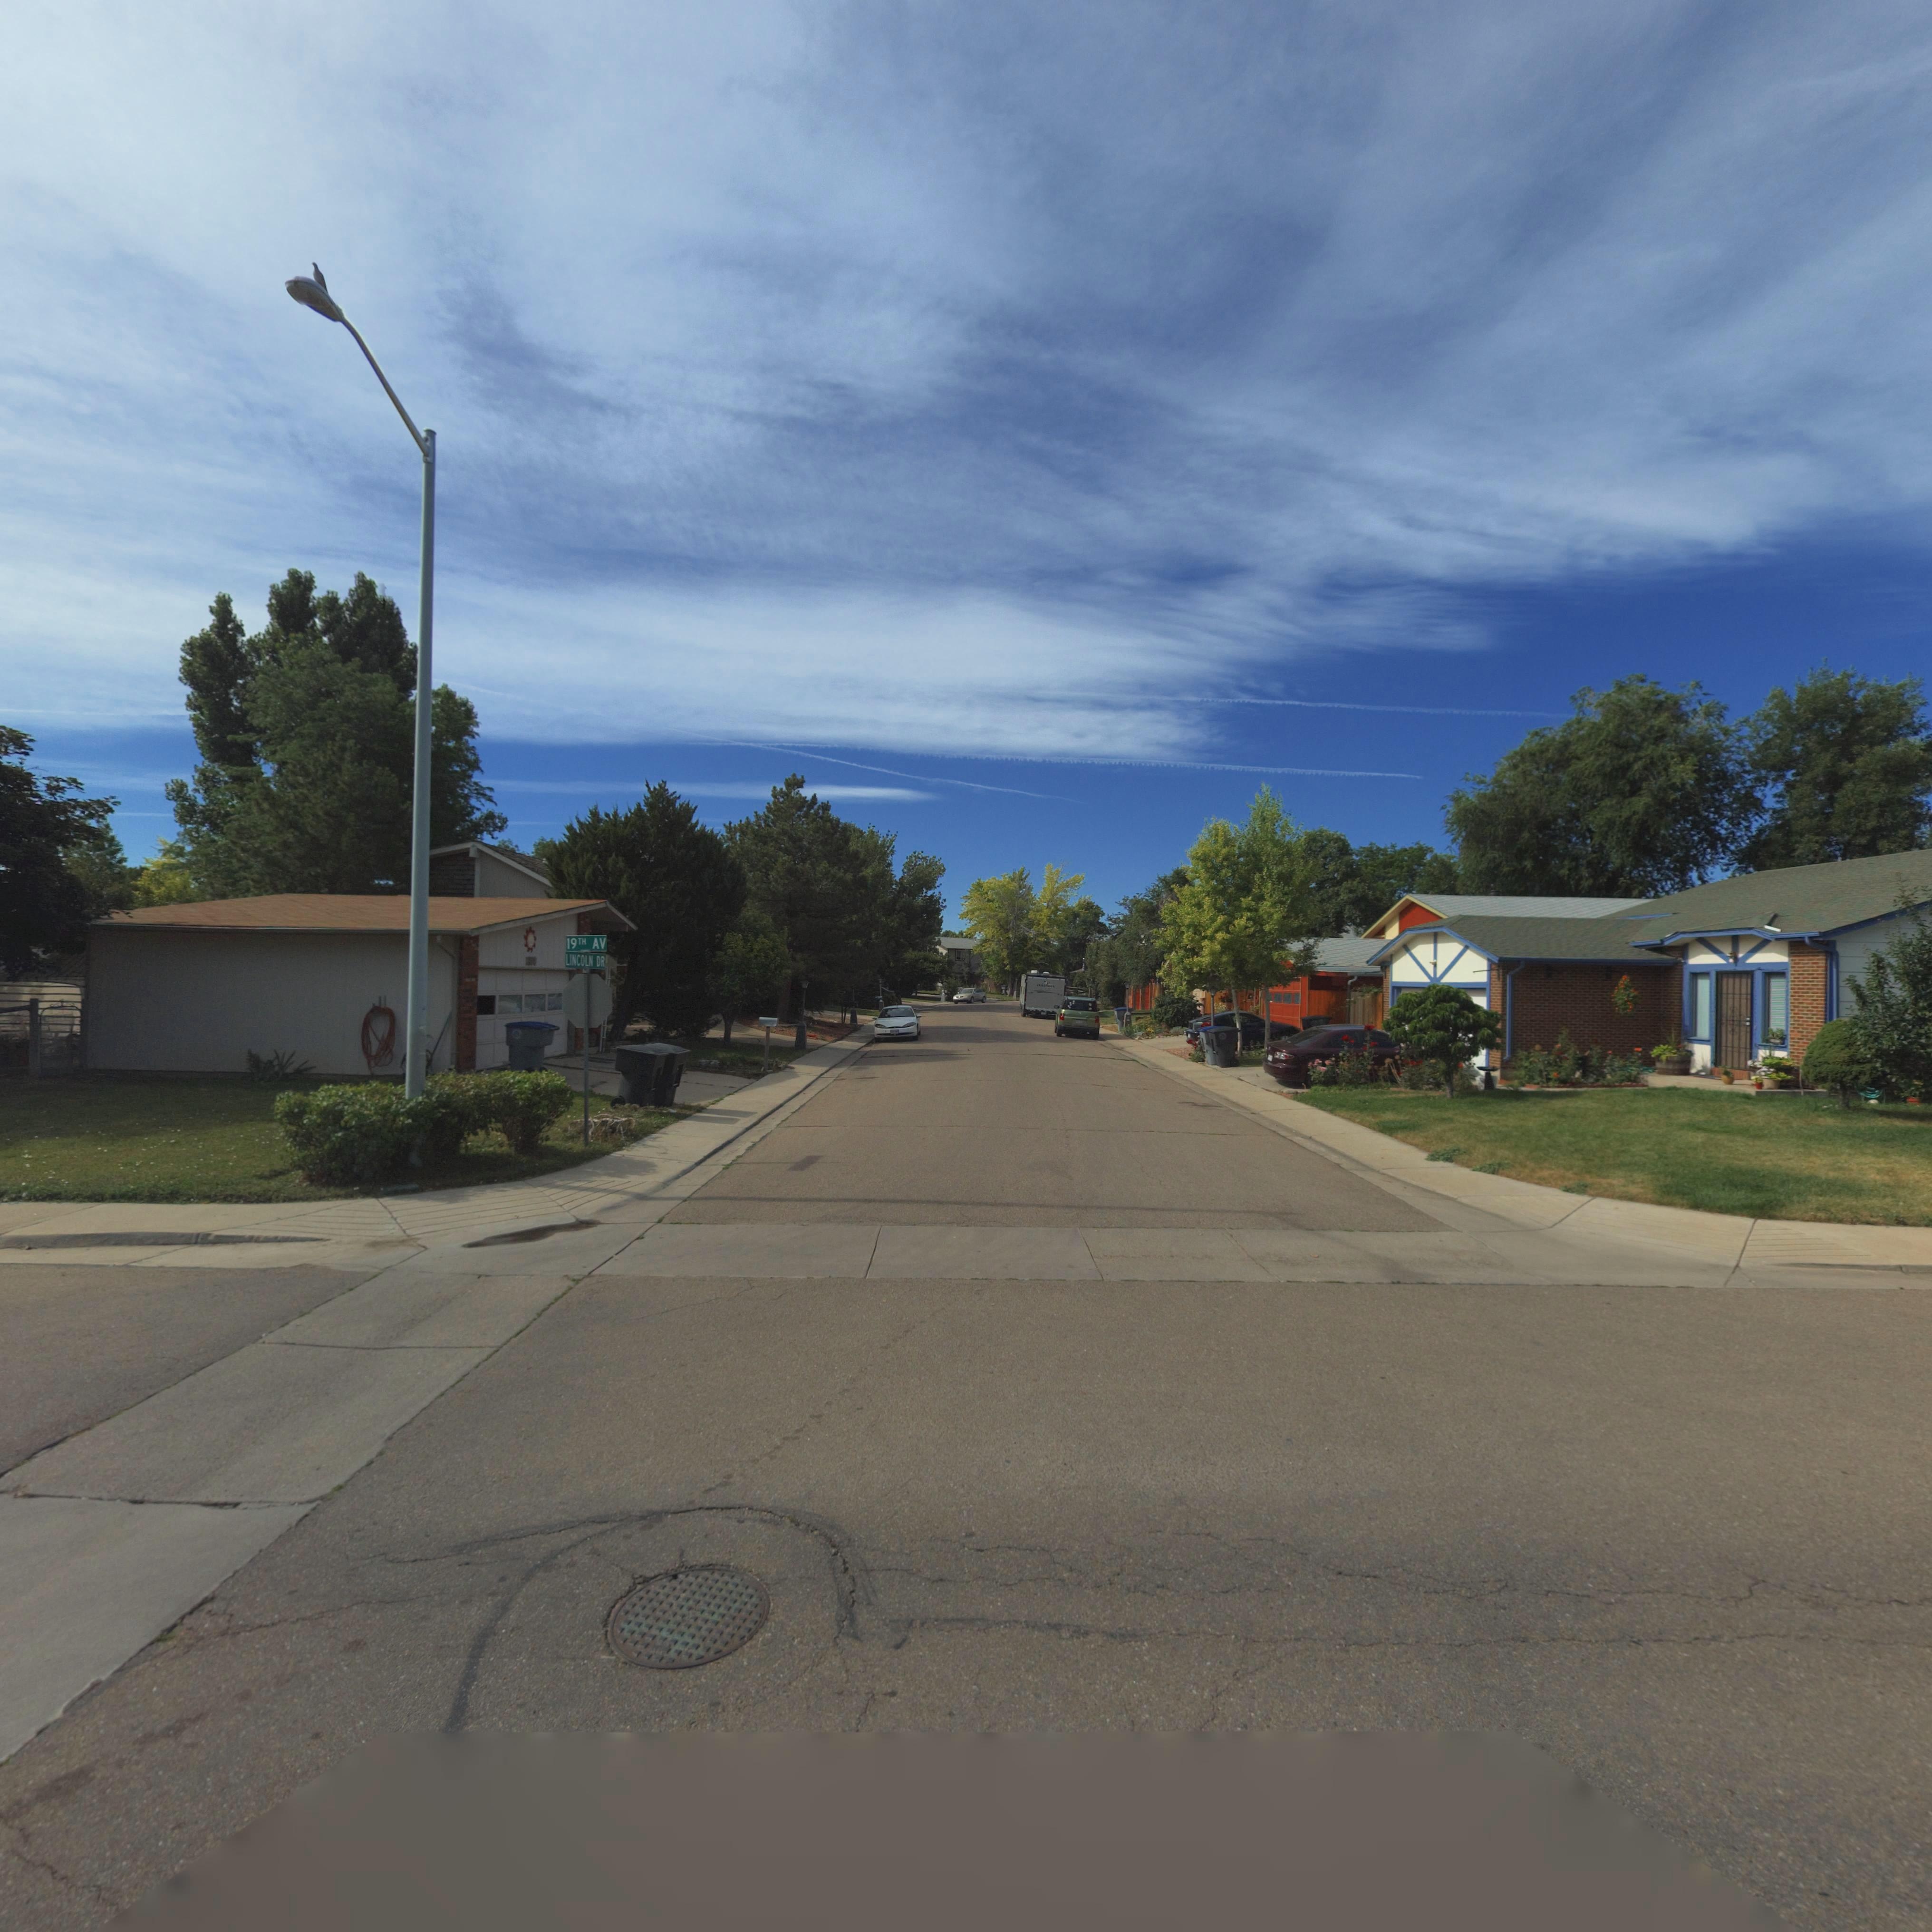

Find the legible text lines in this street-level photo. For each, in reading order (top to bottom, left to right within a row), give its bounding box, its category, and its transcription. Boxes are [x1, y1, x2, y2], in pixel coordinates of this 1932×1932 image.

[566, 937, 607, 949] StreetName: 19TH AV
[525, 956, 536, 966] StreetNumber: 1***
[565, 953, 605, 967] StreetName: LINCOLN DR